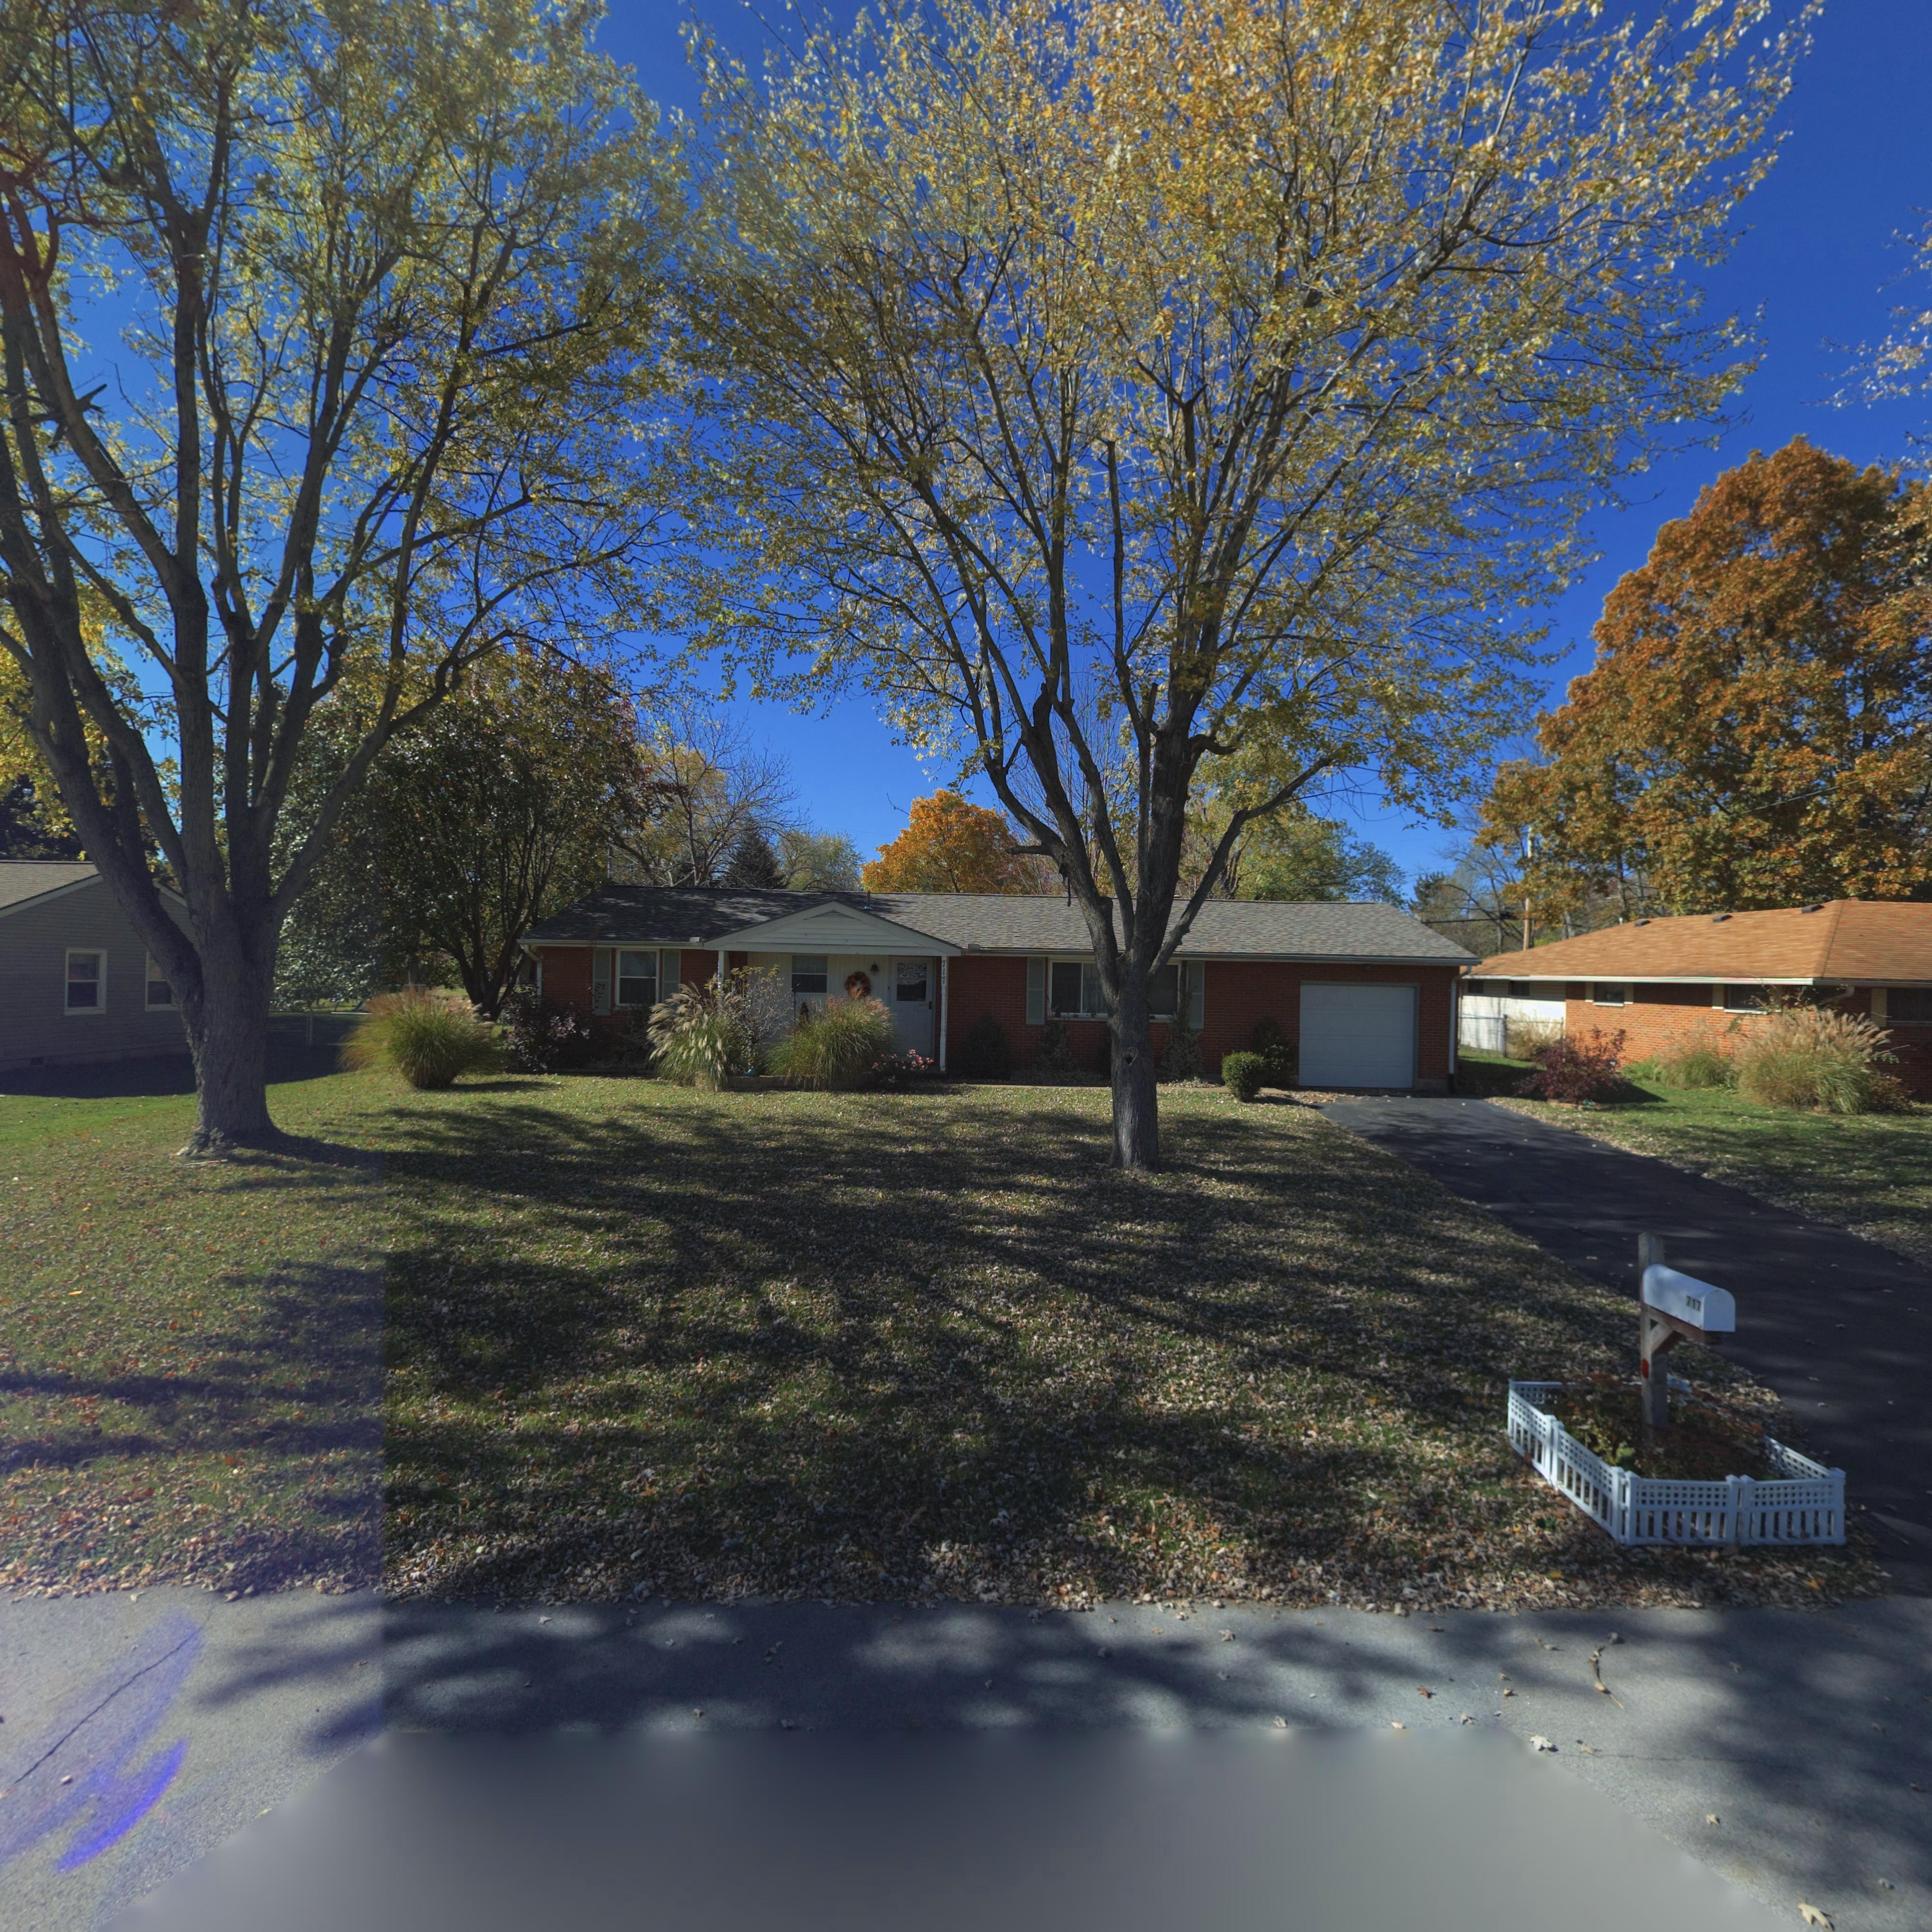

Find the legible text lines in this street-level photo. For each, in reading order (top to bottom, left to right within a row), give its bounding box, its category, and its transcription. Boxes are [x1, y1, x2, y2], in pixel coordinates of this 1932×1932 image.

[941, 959, 947, 984] StreetNumber: 717
[1686, 1294, 1701, 1312] StreetNumber: 717